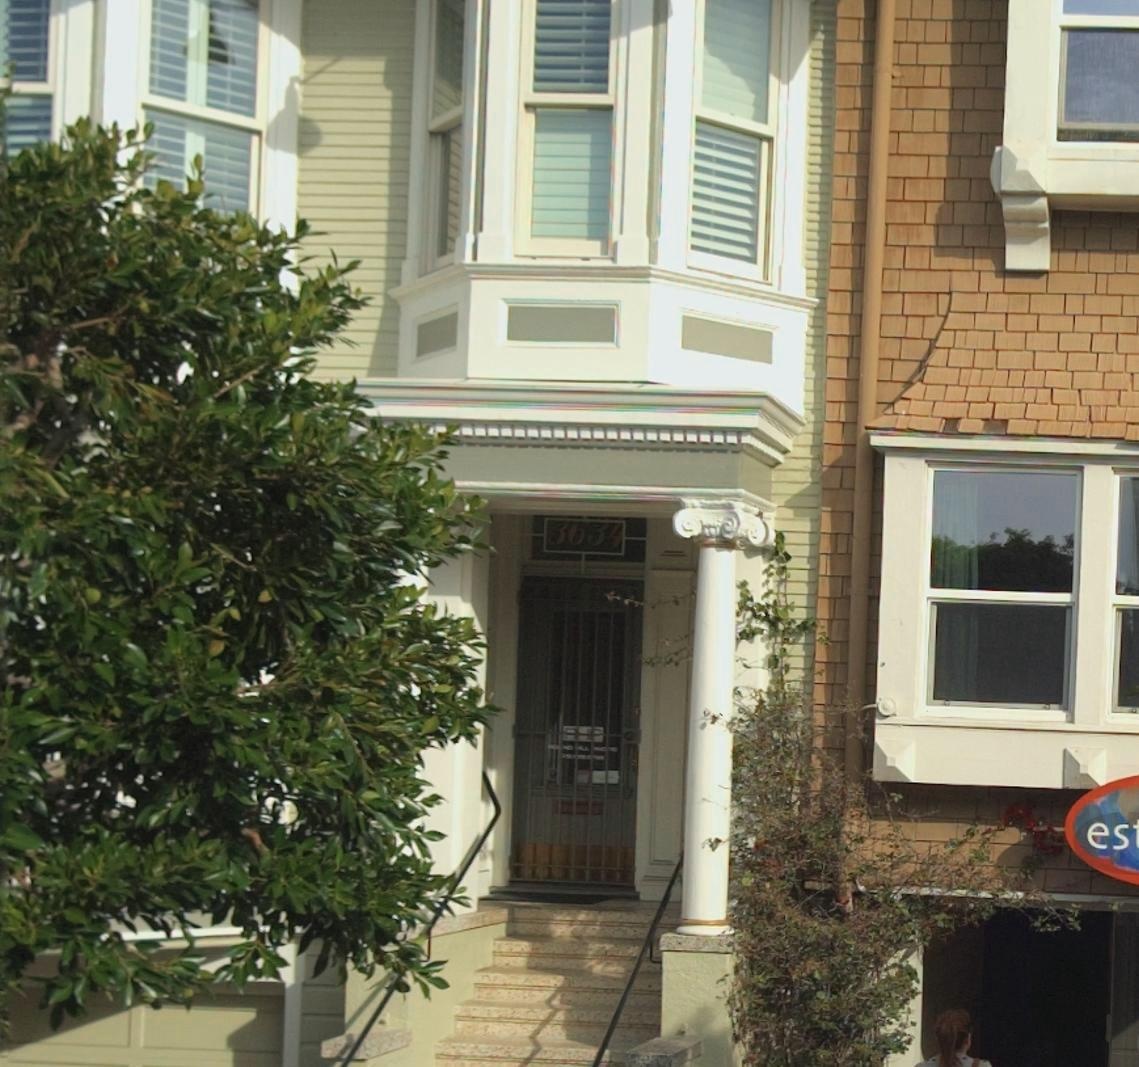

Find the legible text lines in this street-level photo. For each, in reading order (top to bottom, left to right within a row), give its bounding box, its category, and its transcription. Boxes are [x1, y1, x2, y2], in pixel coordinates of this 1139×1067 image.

[545, 520, 624, 549] StreetNumber: 3634
[1085, 819, 1132, 853] None: es